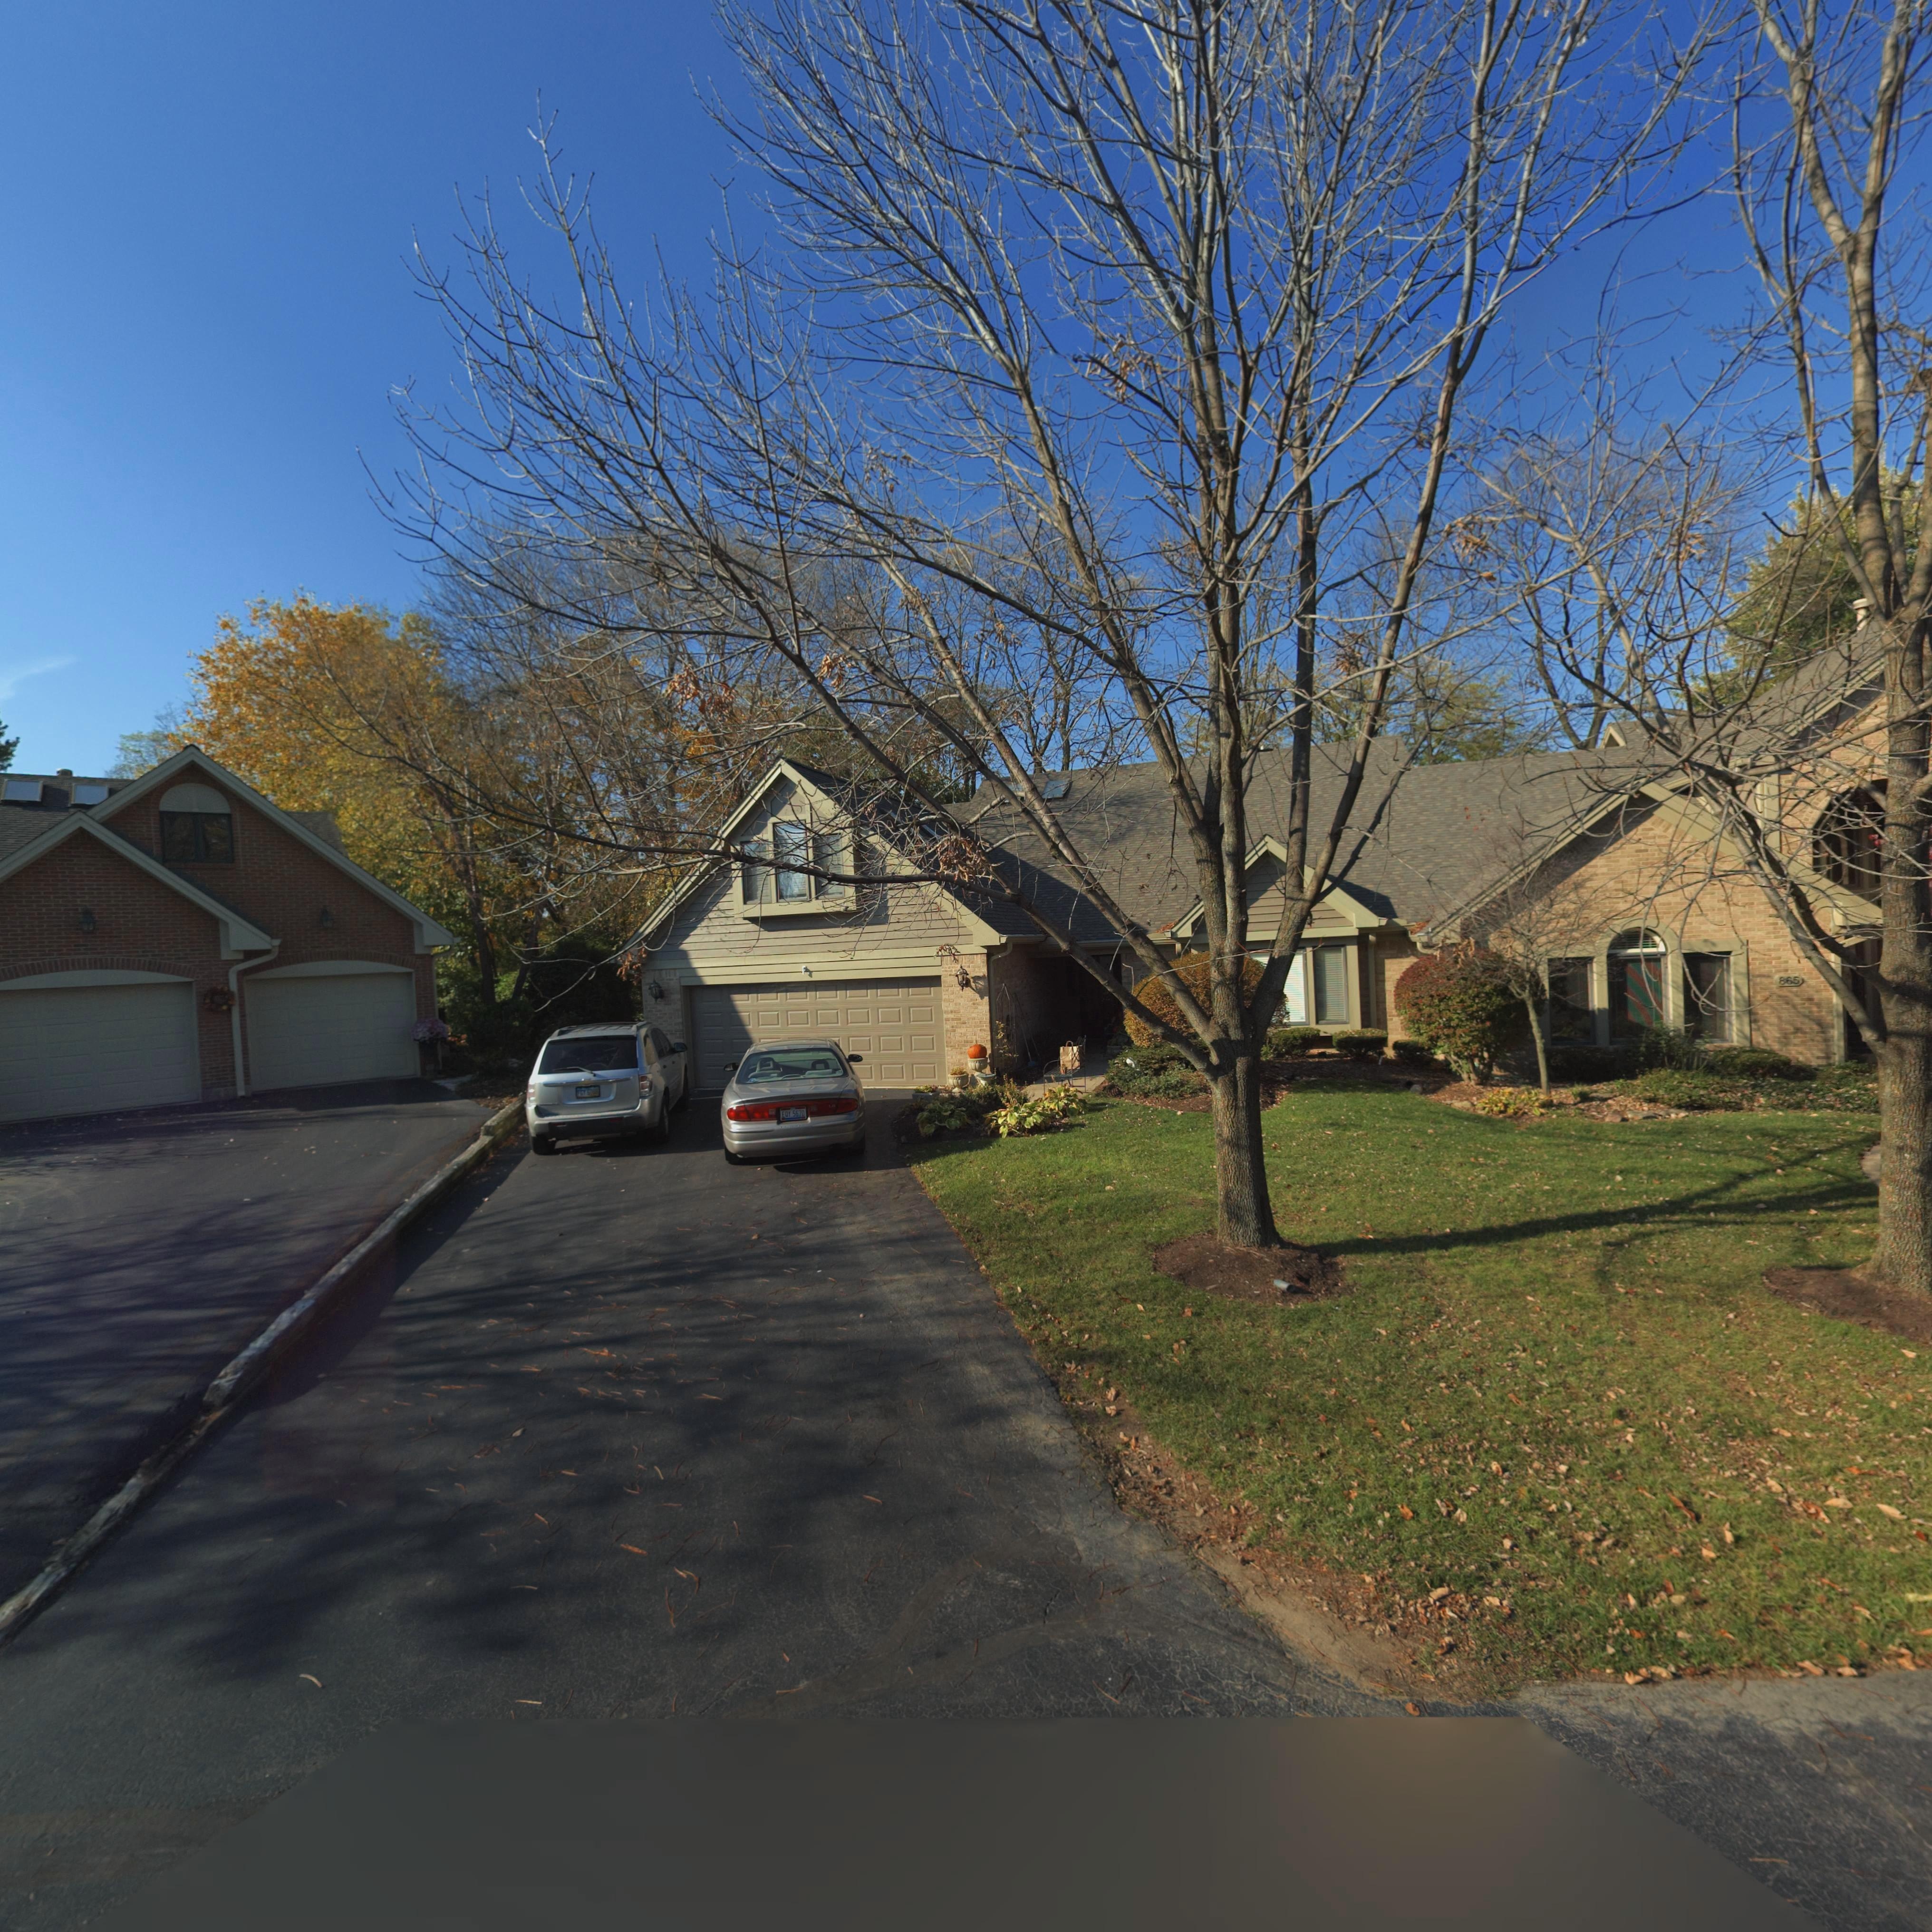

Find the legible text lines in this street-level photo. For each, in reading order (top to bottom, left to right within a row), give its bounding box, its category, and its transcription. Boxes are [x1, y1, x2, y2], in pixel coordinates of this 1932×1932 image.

[1778, 976, 1801, 985] StreetNumber: 865